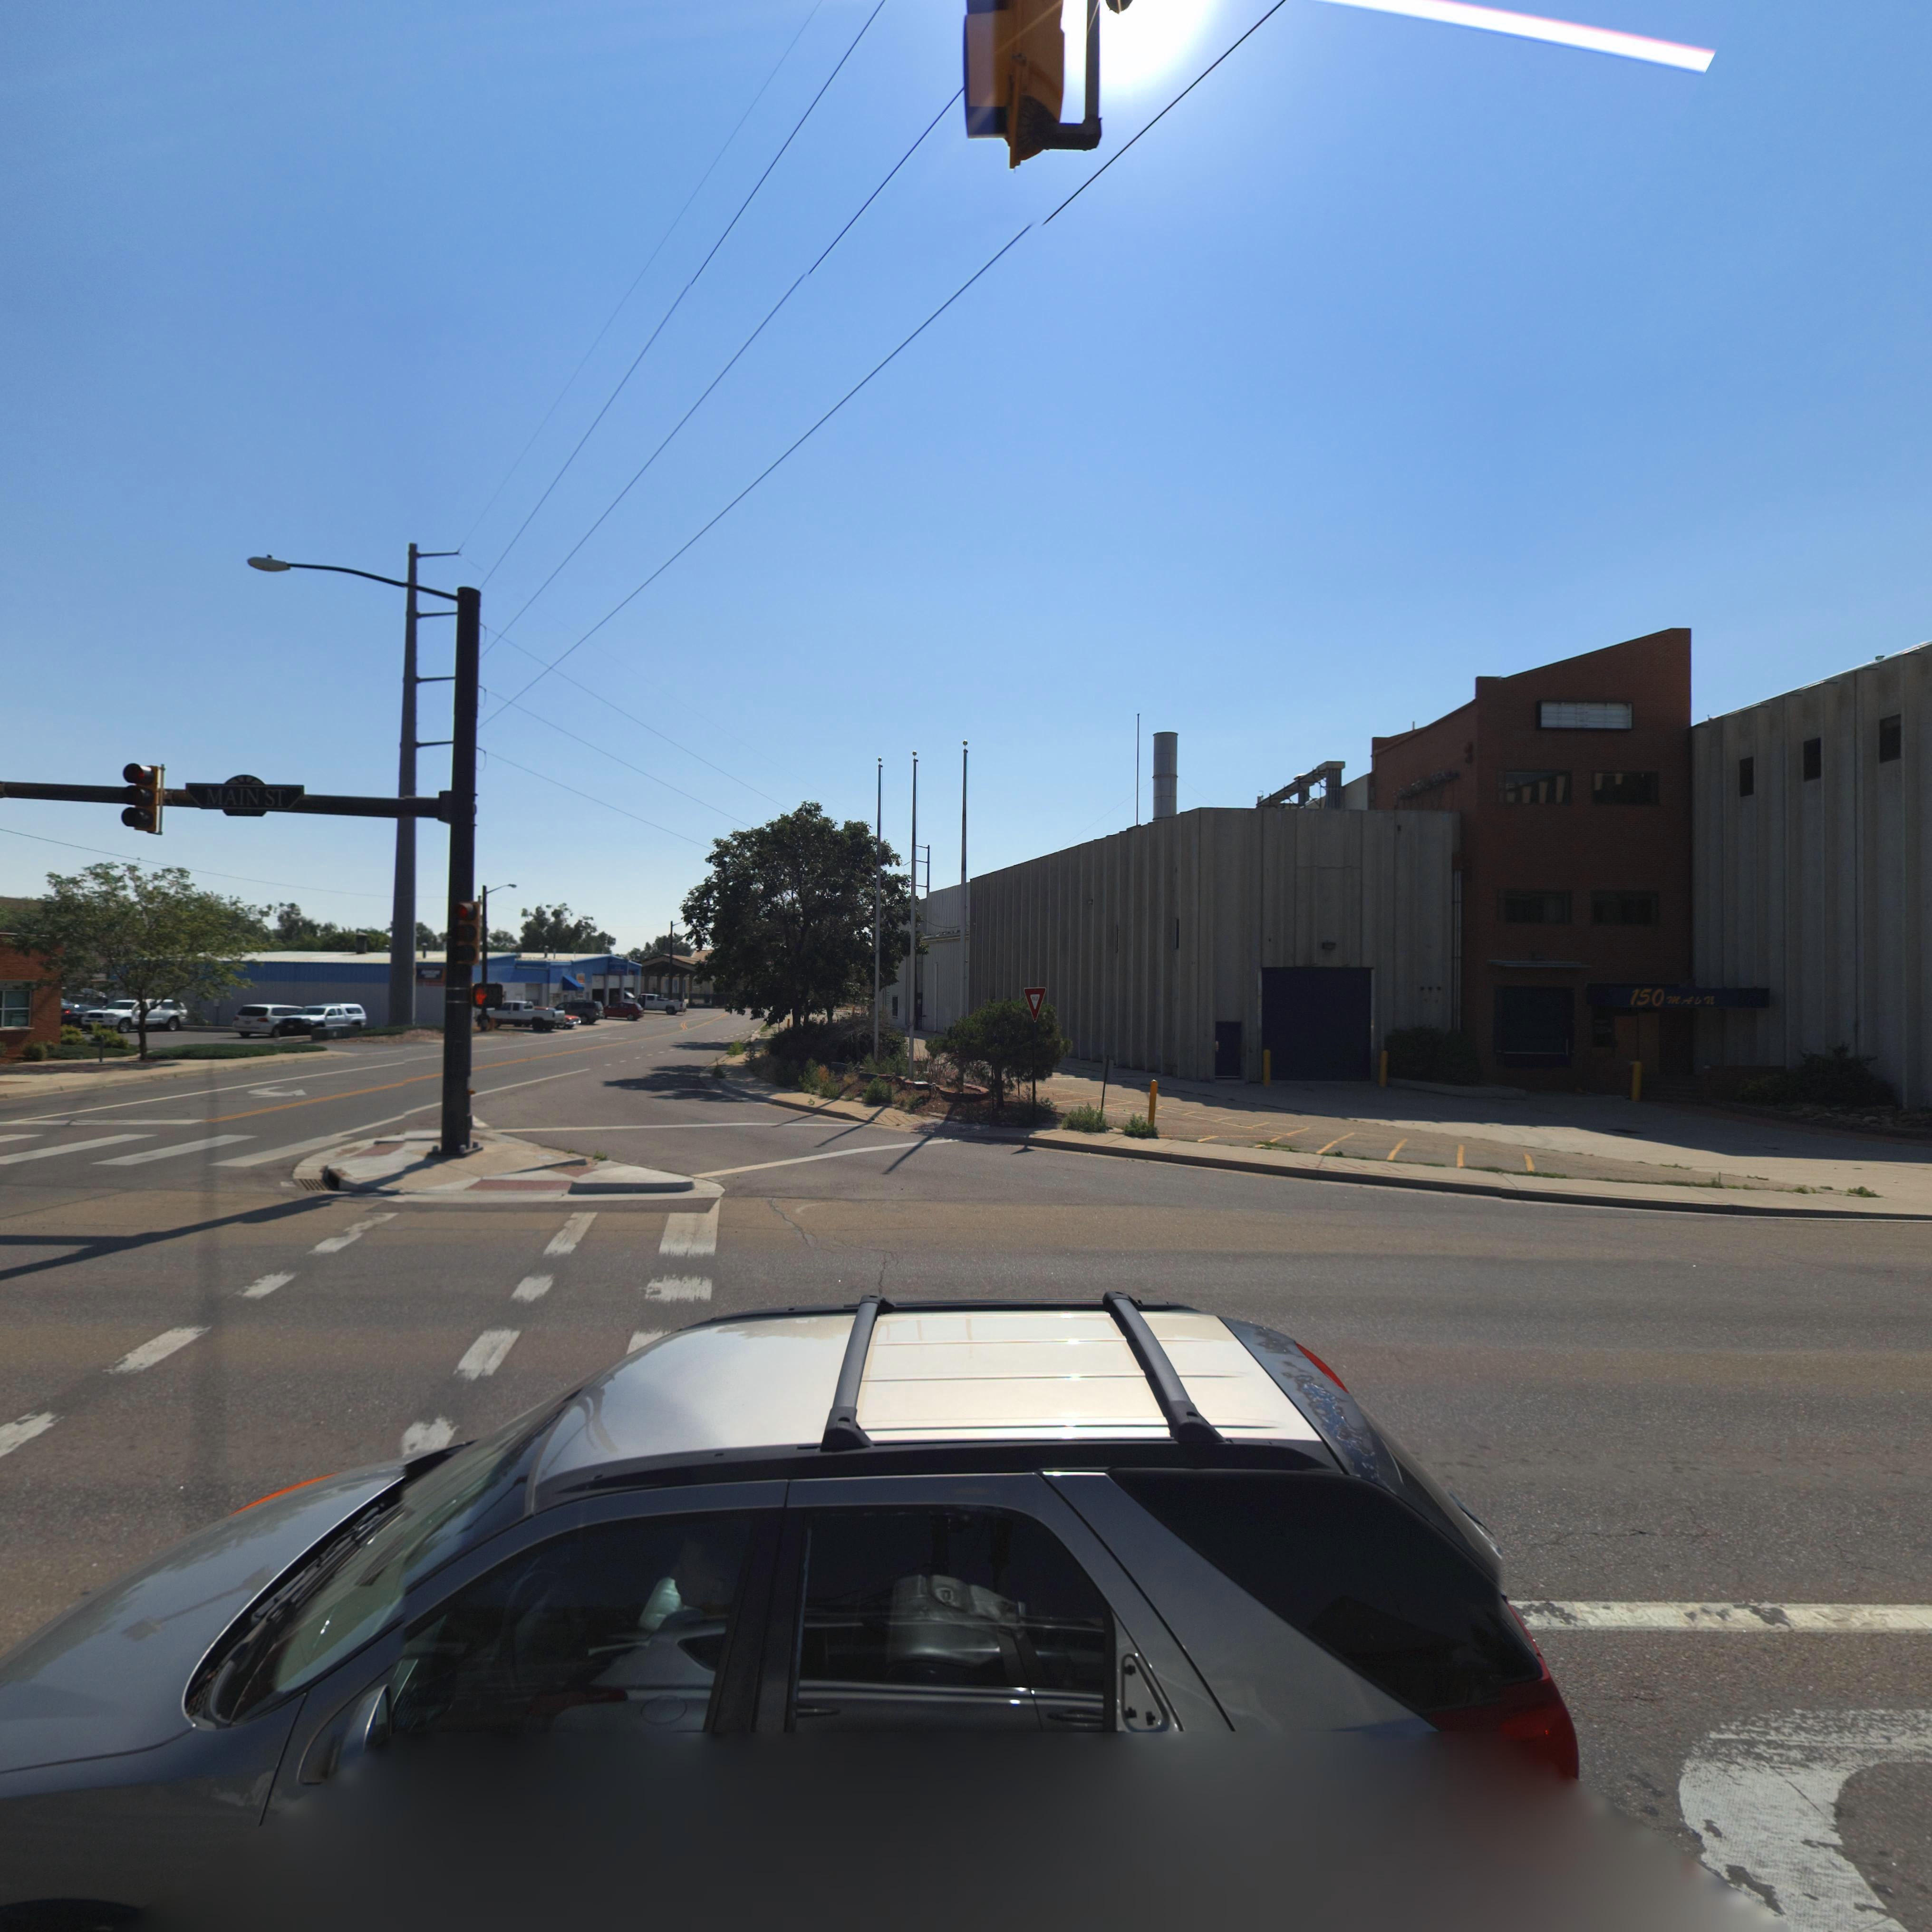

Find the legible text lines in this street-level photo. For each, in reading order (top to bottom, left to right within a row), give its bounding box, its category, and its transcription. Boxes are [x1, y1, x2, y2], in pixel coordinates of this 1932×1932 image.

[205, 786, 287, 807] StreetName: MAIN ST
[1629, 987, 1665, 1007] StreetNumber: 150
[1665, 995, 1716, 1005] StreetName: MAIN